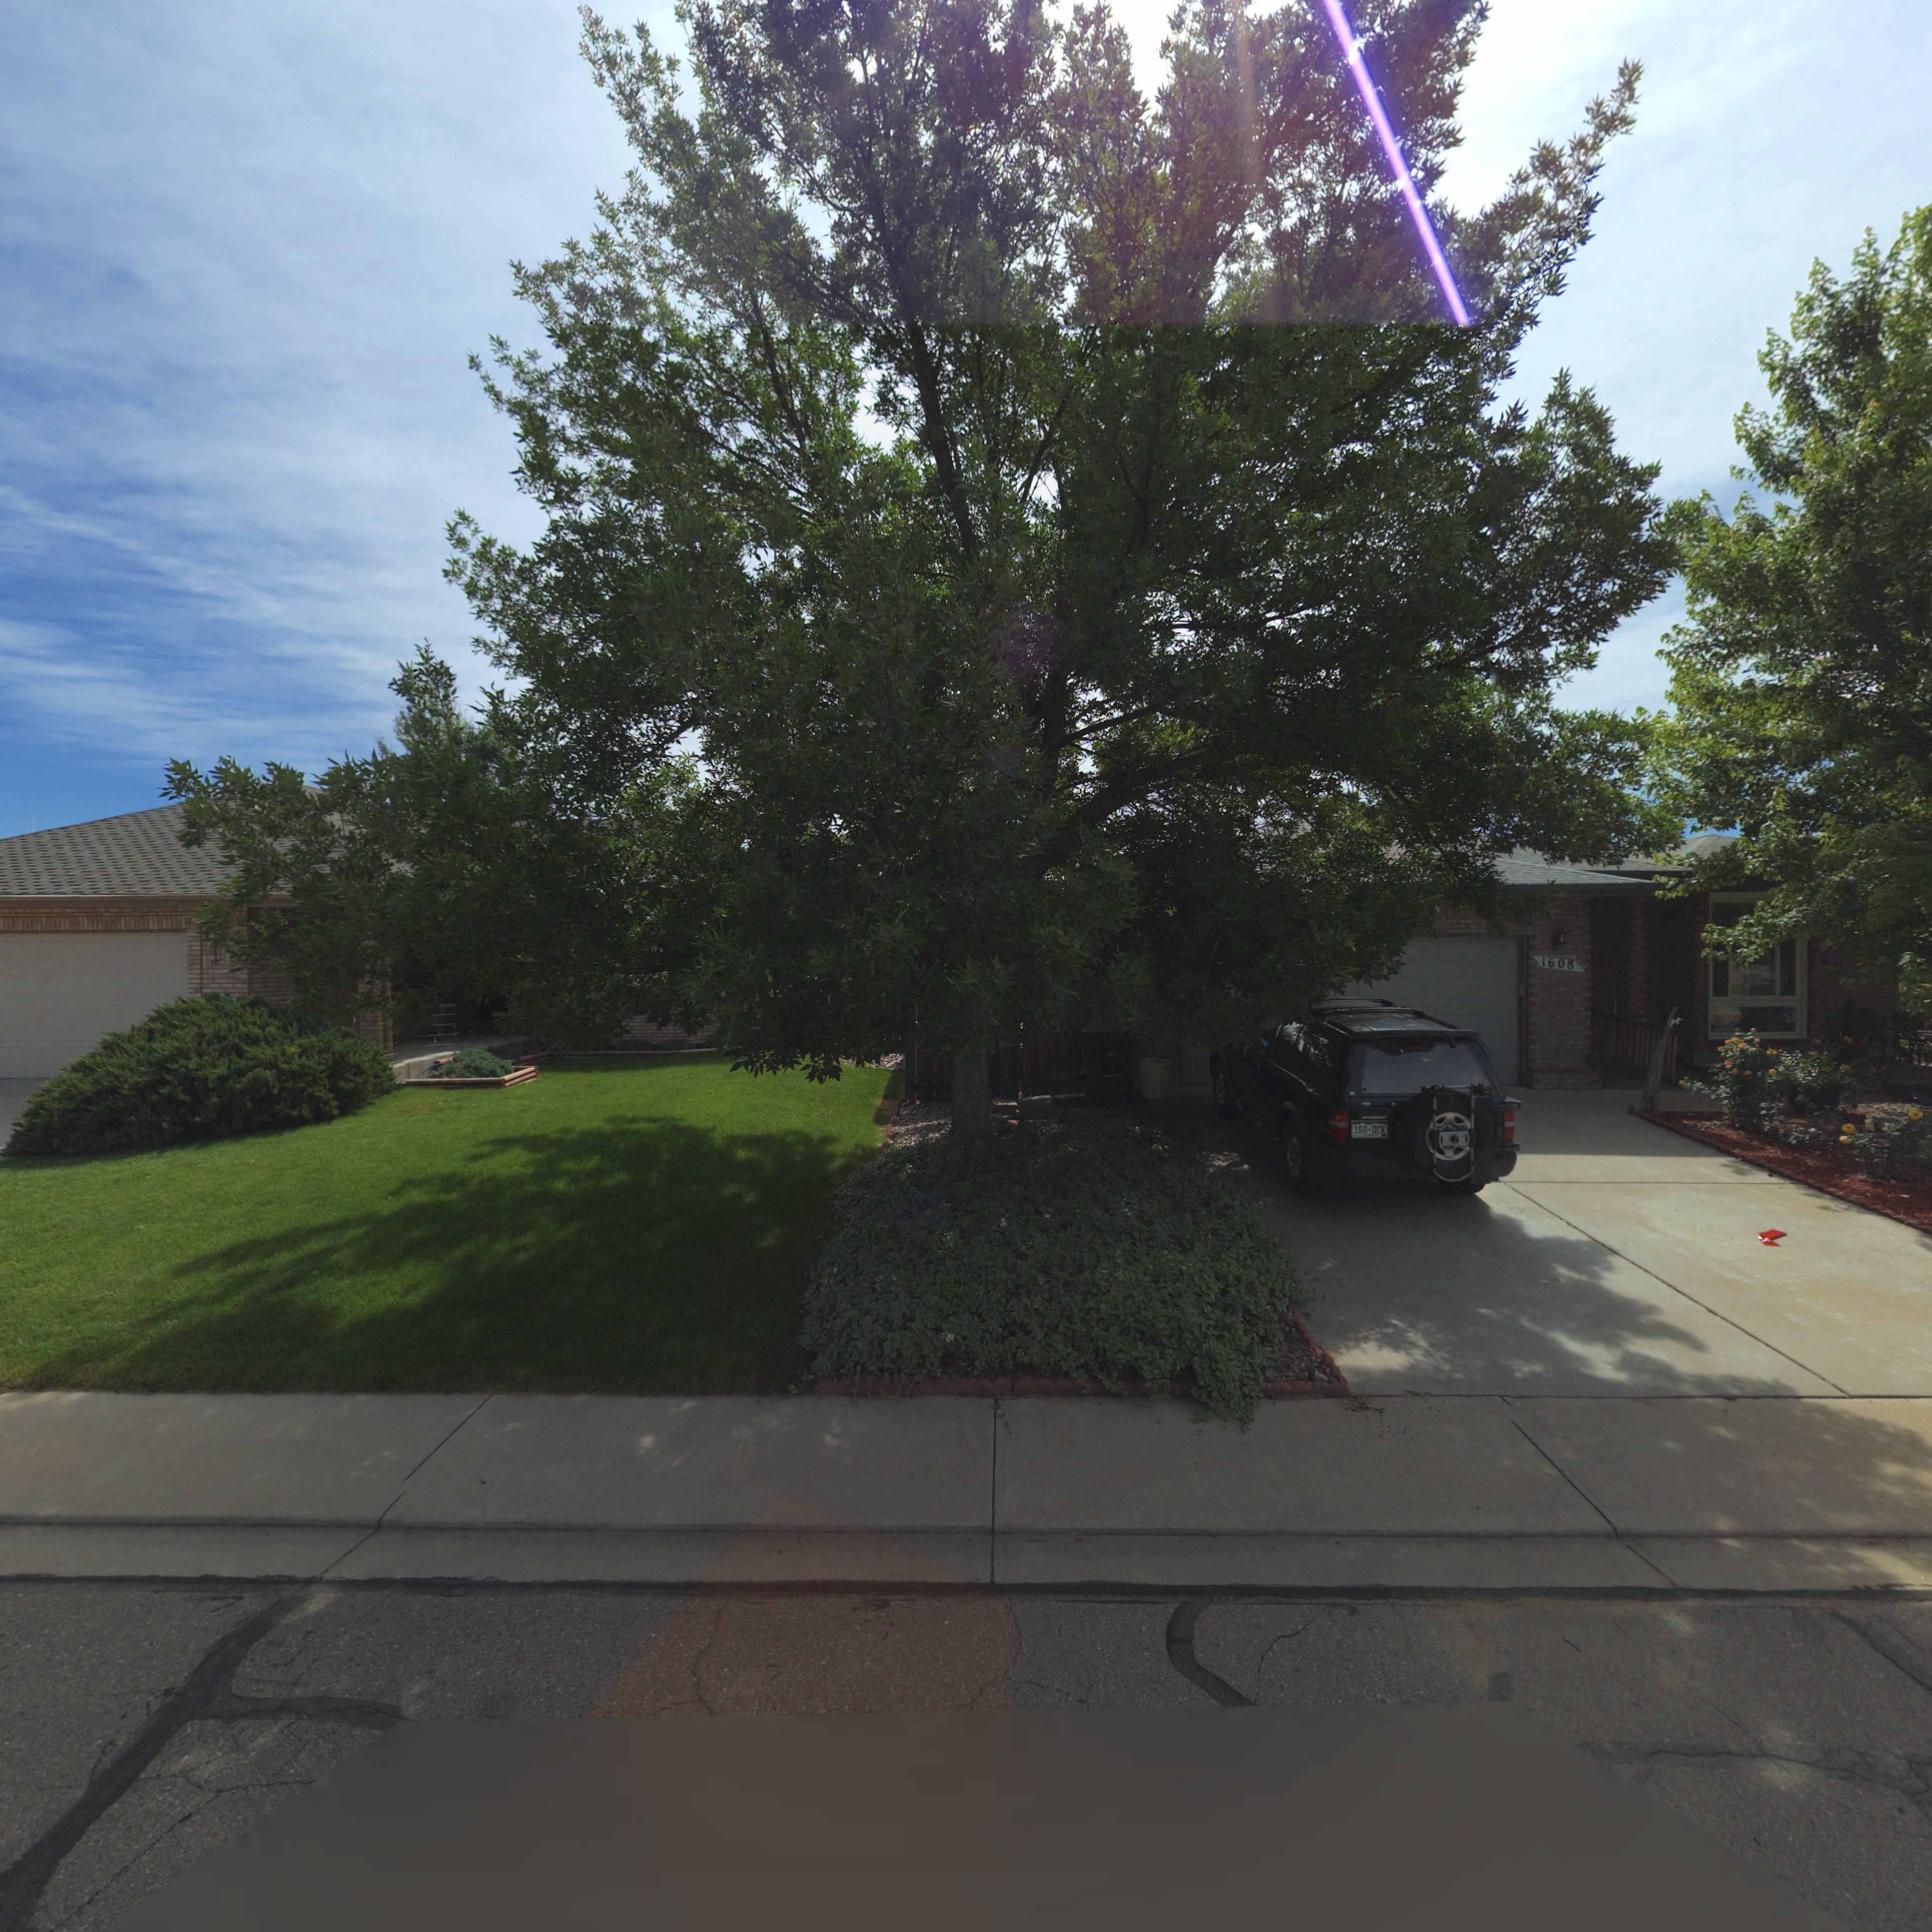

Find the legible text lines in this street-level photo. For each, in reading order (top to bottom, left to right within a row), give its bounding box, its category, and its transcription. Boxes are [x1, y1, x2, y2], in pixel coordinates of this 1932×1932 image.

[1541, 956, 1574, 969] StreetNumber: 1608